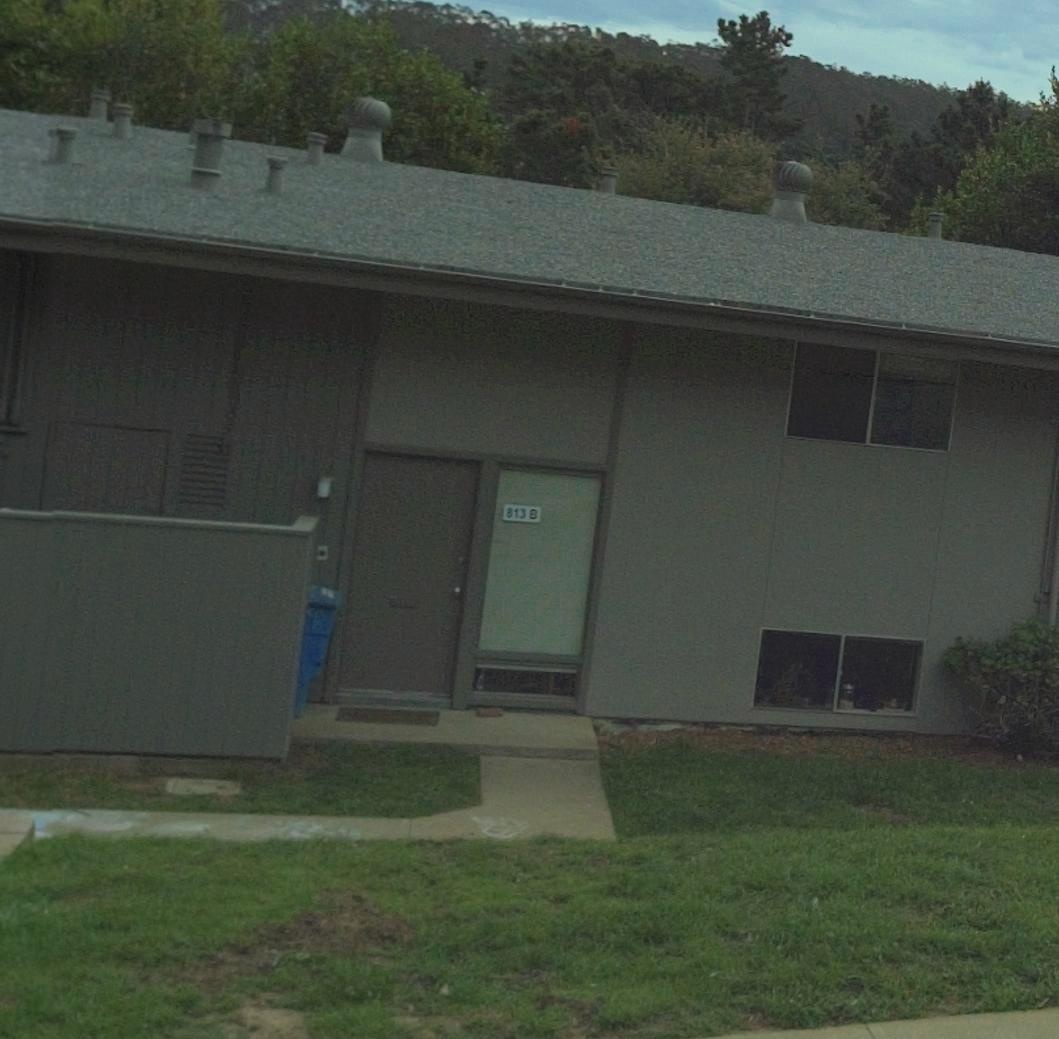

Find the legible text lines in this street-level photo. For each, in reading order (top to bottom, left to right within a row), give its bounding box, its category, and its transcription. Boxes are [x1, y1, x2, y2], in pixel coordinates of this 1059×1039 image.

[505, 506, 539, 521] StreetNumber: 813 B